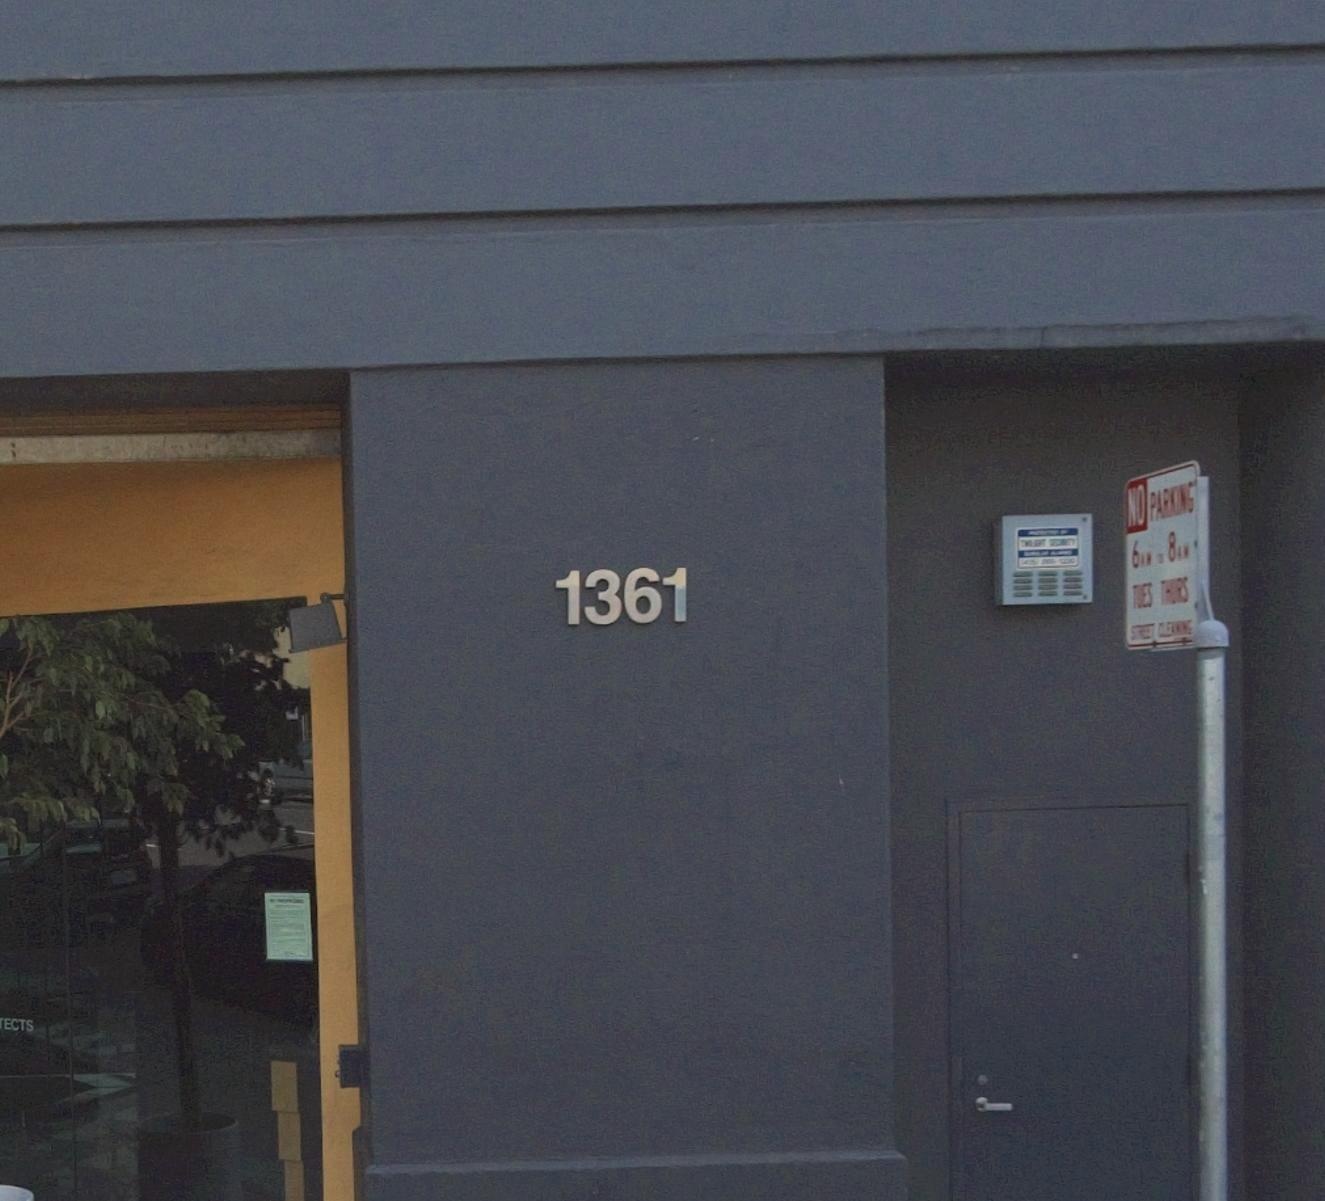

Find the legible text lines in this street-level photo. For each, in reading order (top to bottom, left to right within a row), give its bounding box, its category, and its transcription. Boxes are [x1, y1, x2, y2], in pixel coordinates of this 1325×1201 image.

[1125, 477, 1196, 530] None: NO PARKING
[1130, 528, 1192, 571] None: 6AM TO 8AM
[554, 566, 690, 628] StreetNumber: 1361
[1130, 575, 1191, 610] None: TUES THURS
[1129, 616, 1194, 642] None: STREET CLEANING
[3, 1017, 34, 1033] None: ECTS